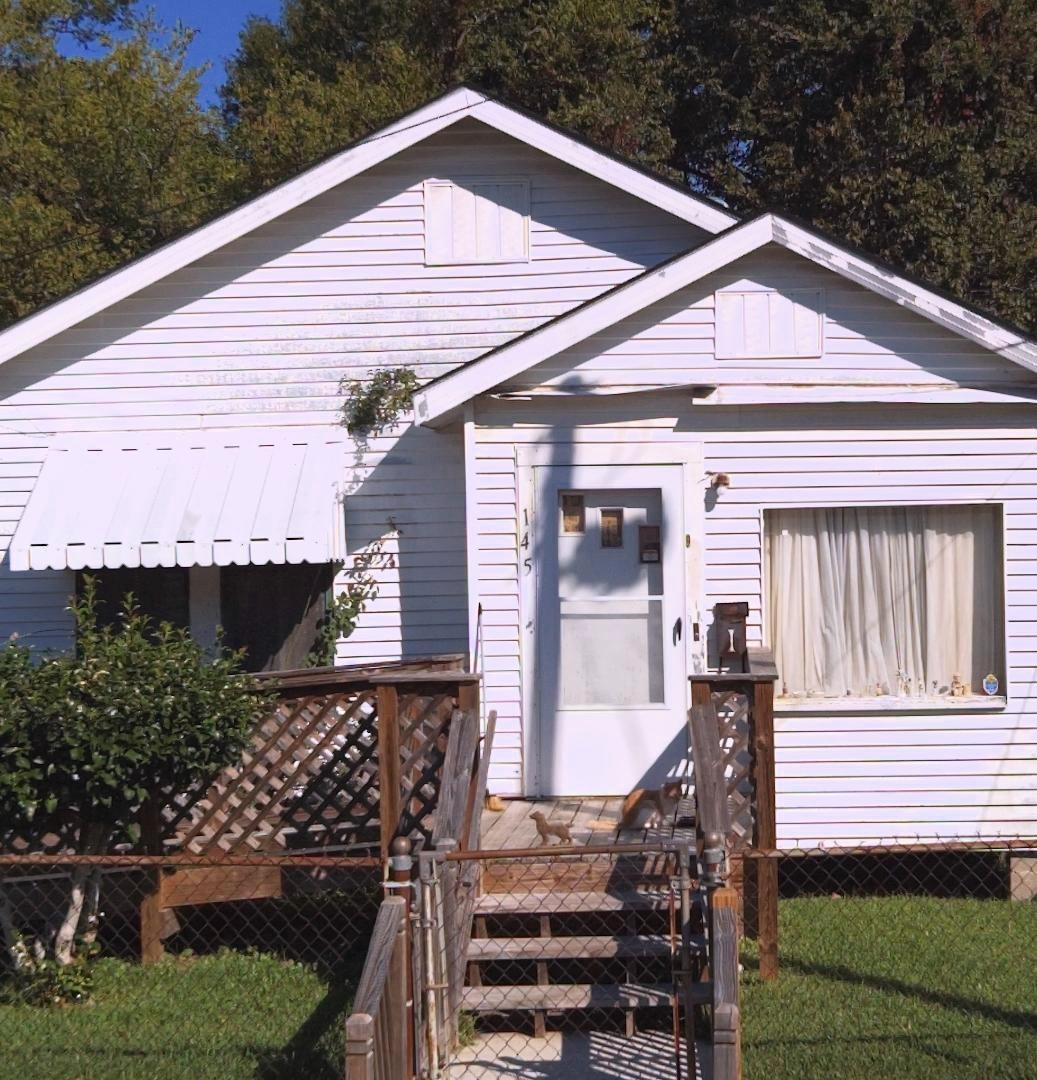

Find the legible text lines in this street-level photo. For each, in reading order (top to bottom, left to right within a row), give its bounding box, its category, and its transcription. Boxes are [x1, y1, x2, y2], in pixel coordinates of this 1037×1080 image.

[518, 504, 535, 582] StreetNumber: 145
[724, 626, 738, 656] None: I